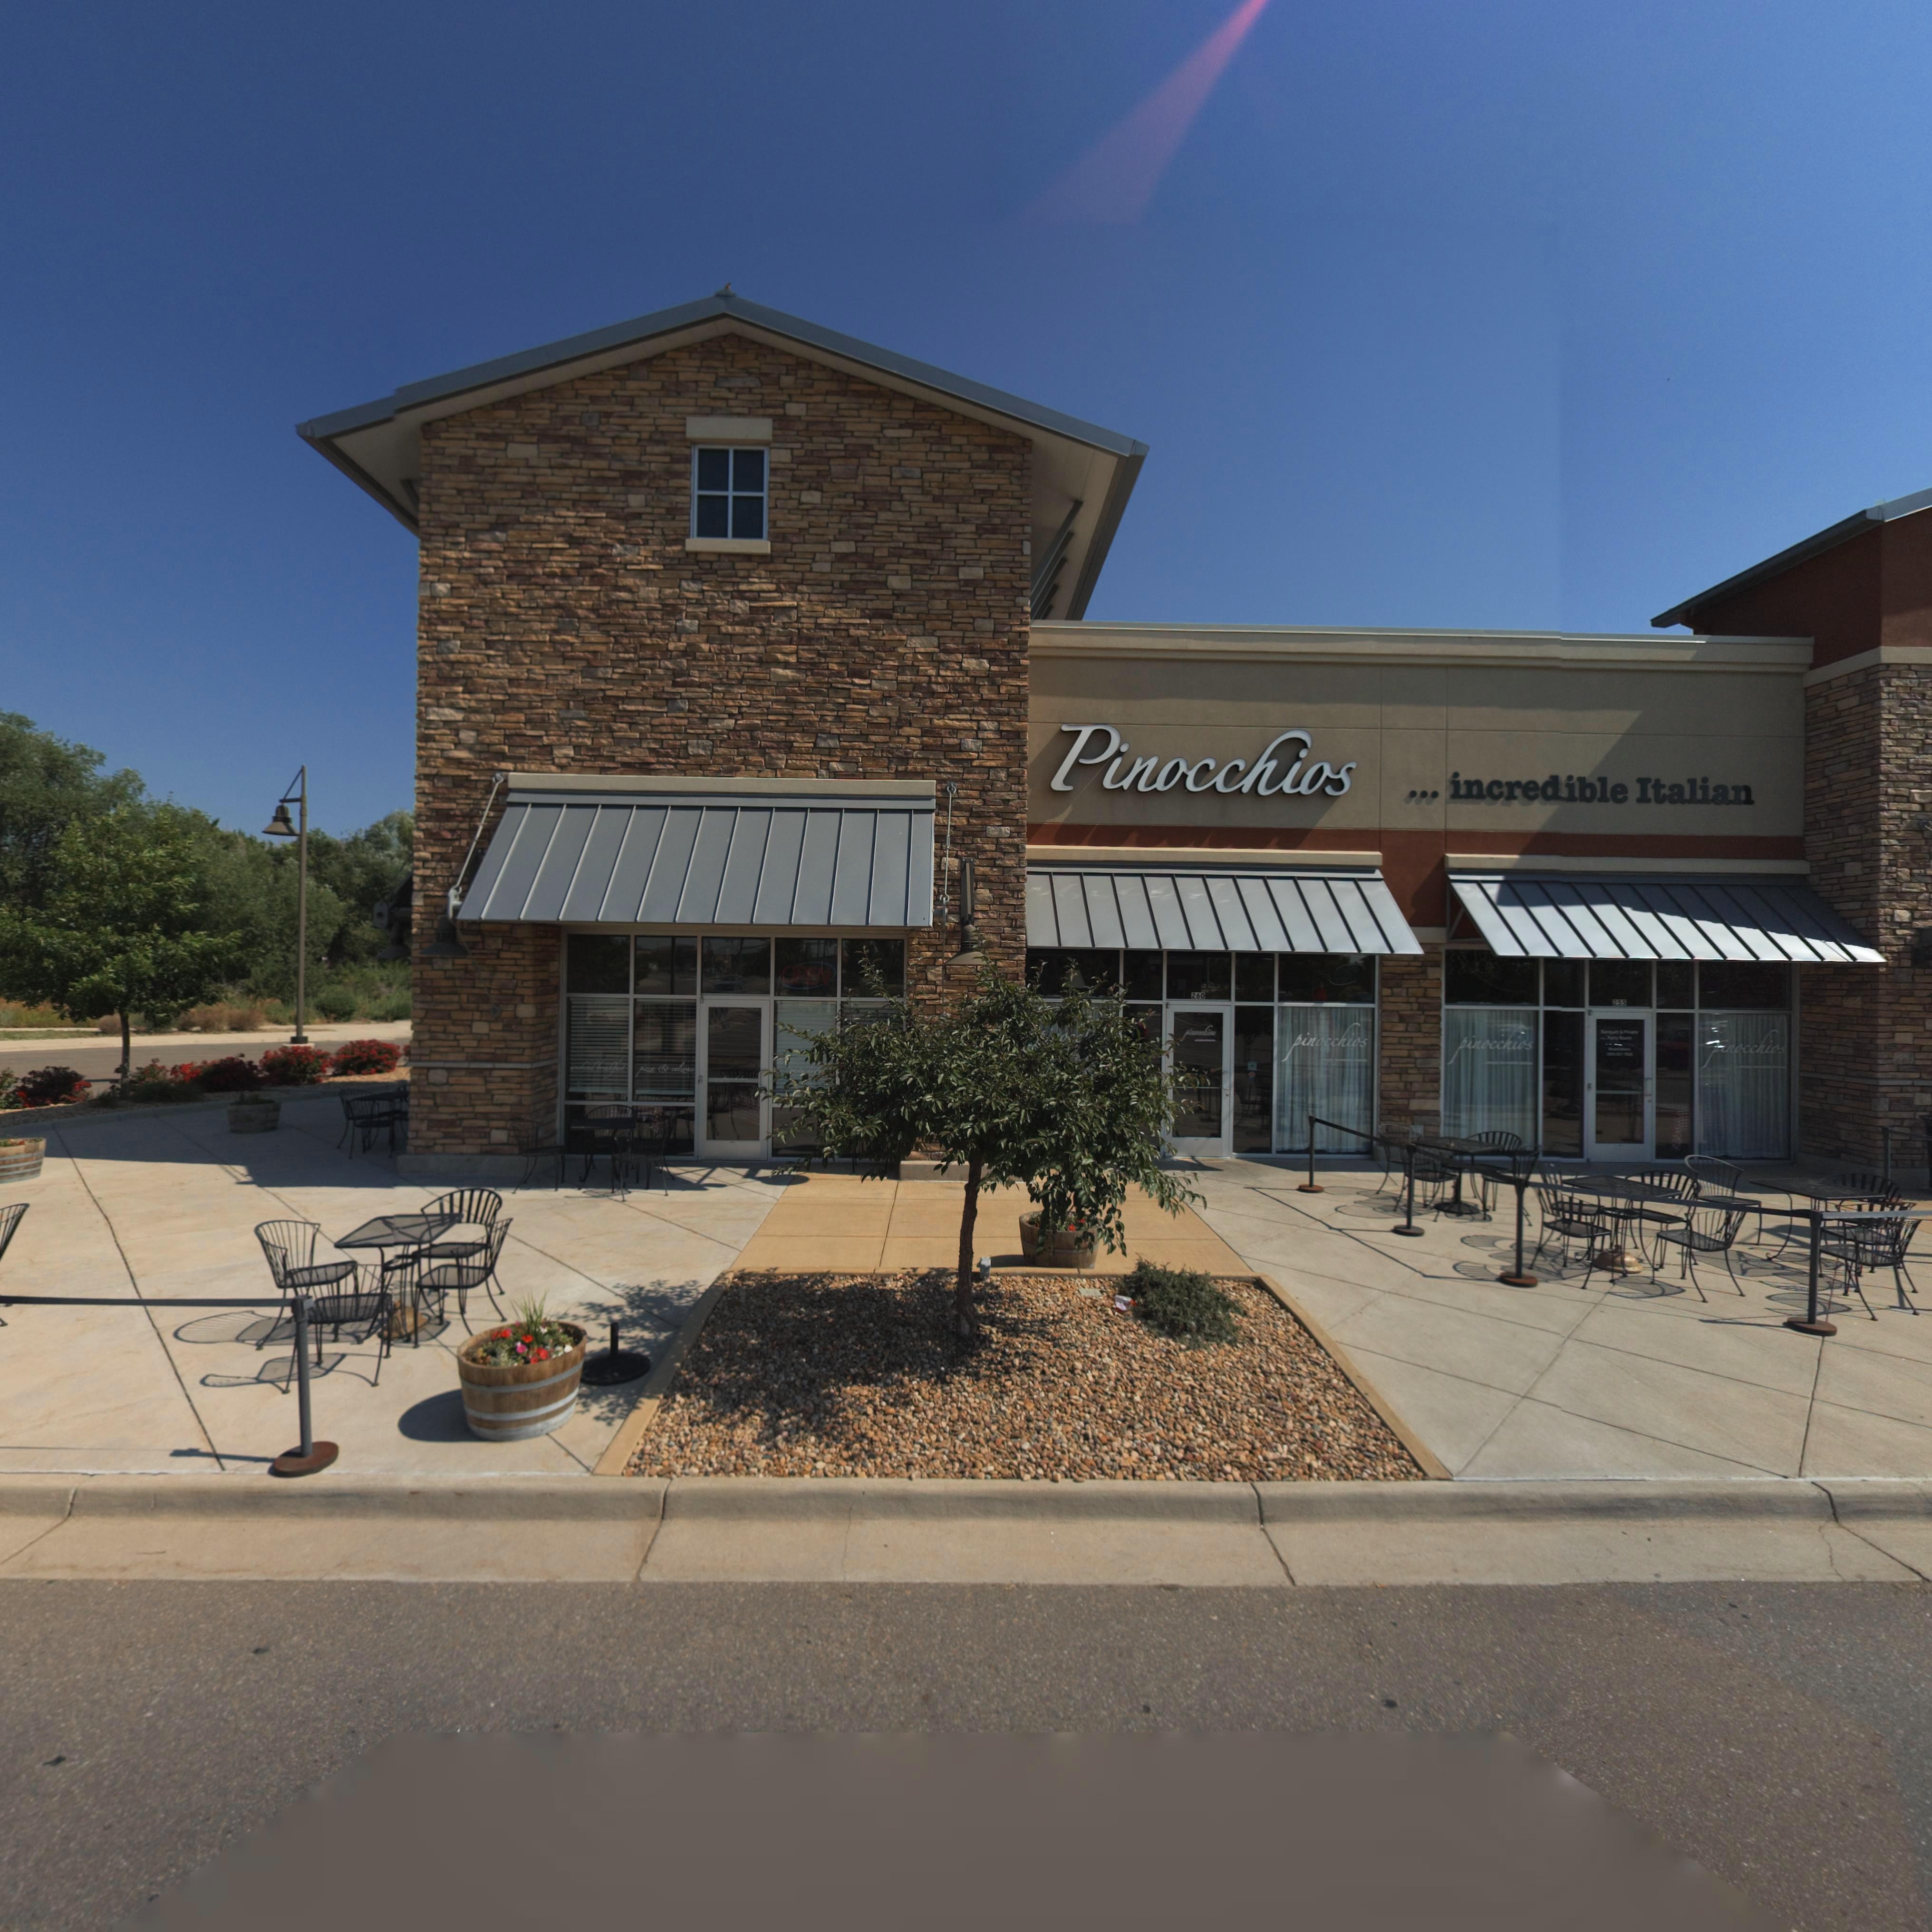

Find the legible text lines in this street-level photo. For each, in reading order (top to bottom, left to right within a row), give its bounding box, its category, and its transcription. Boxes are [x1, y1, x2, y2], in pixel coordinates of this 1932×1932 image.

[1049, 723, 1755, 805] None: Pinocchios ... incredible italian
[1191, 993, 1205, 999] StreetNumber: 260
[1613, 999, 1626, 1005] StreetNumber: 255
[1179, 1024, 1216, 1042] BusinessName: pinocchios
[1281, 1022, 1368, 1062] None: pinocchios
[1445, 1024, 1533, 1065] BusinessName: pinocchios
[1701, 1029, 1786, 1069] BusinessName: pinocchios